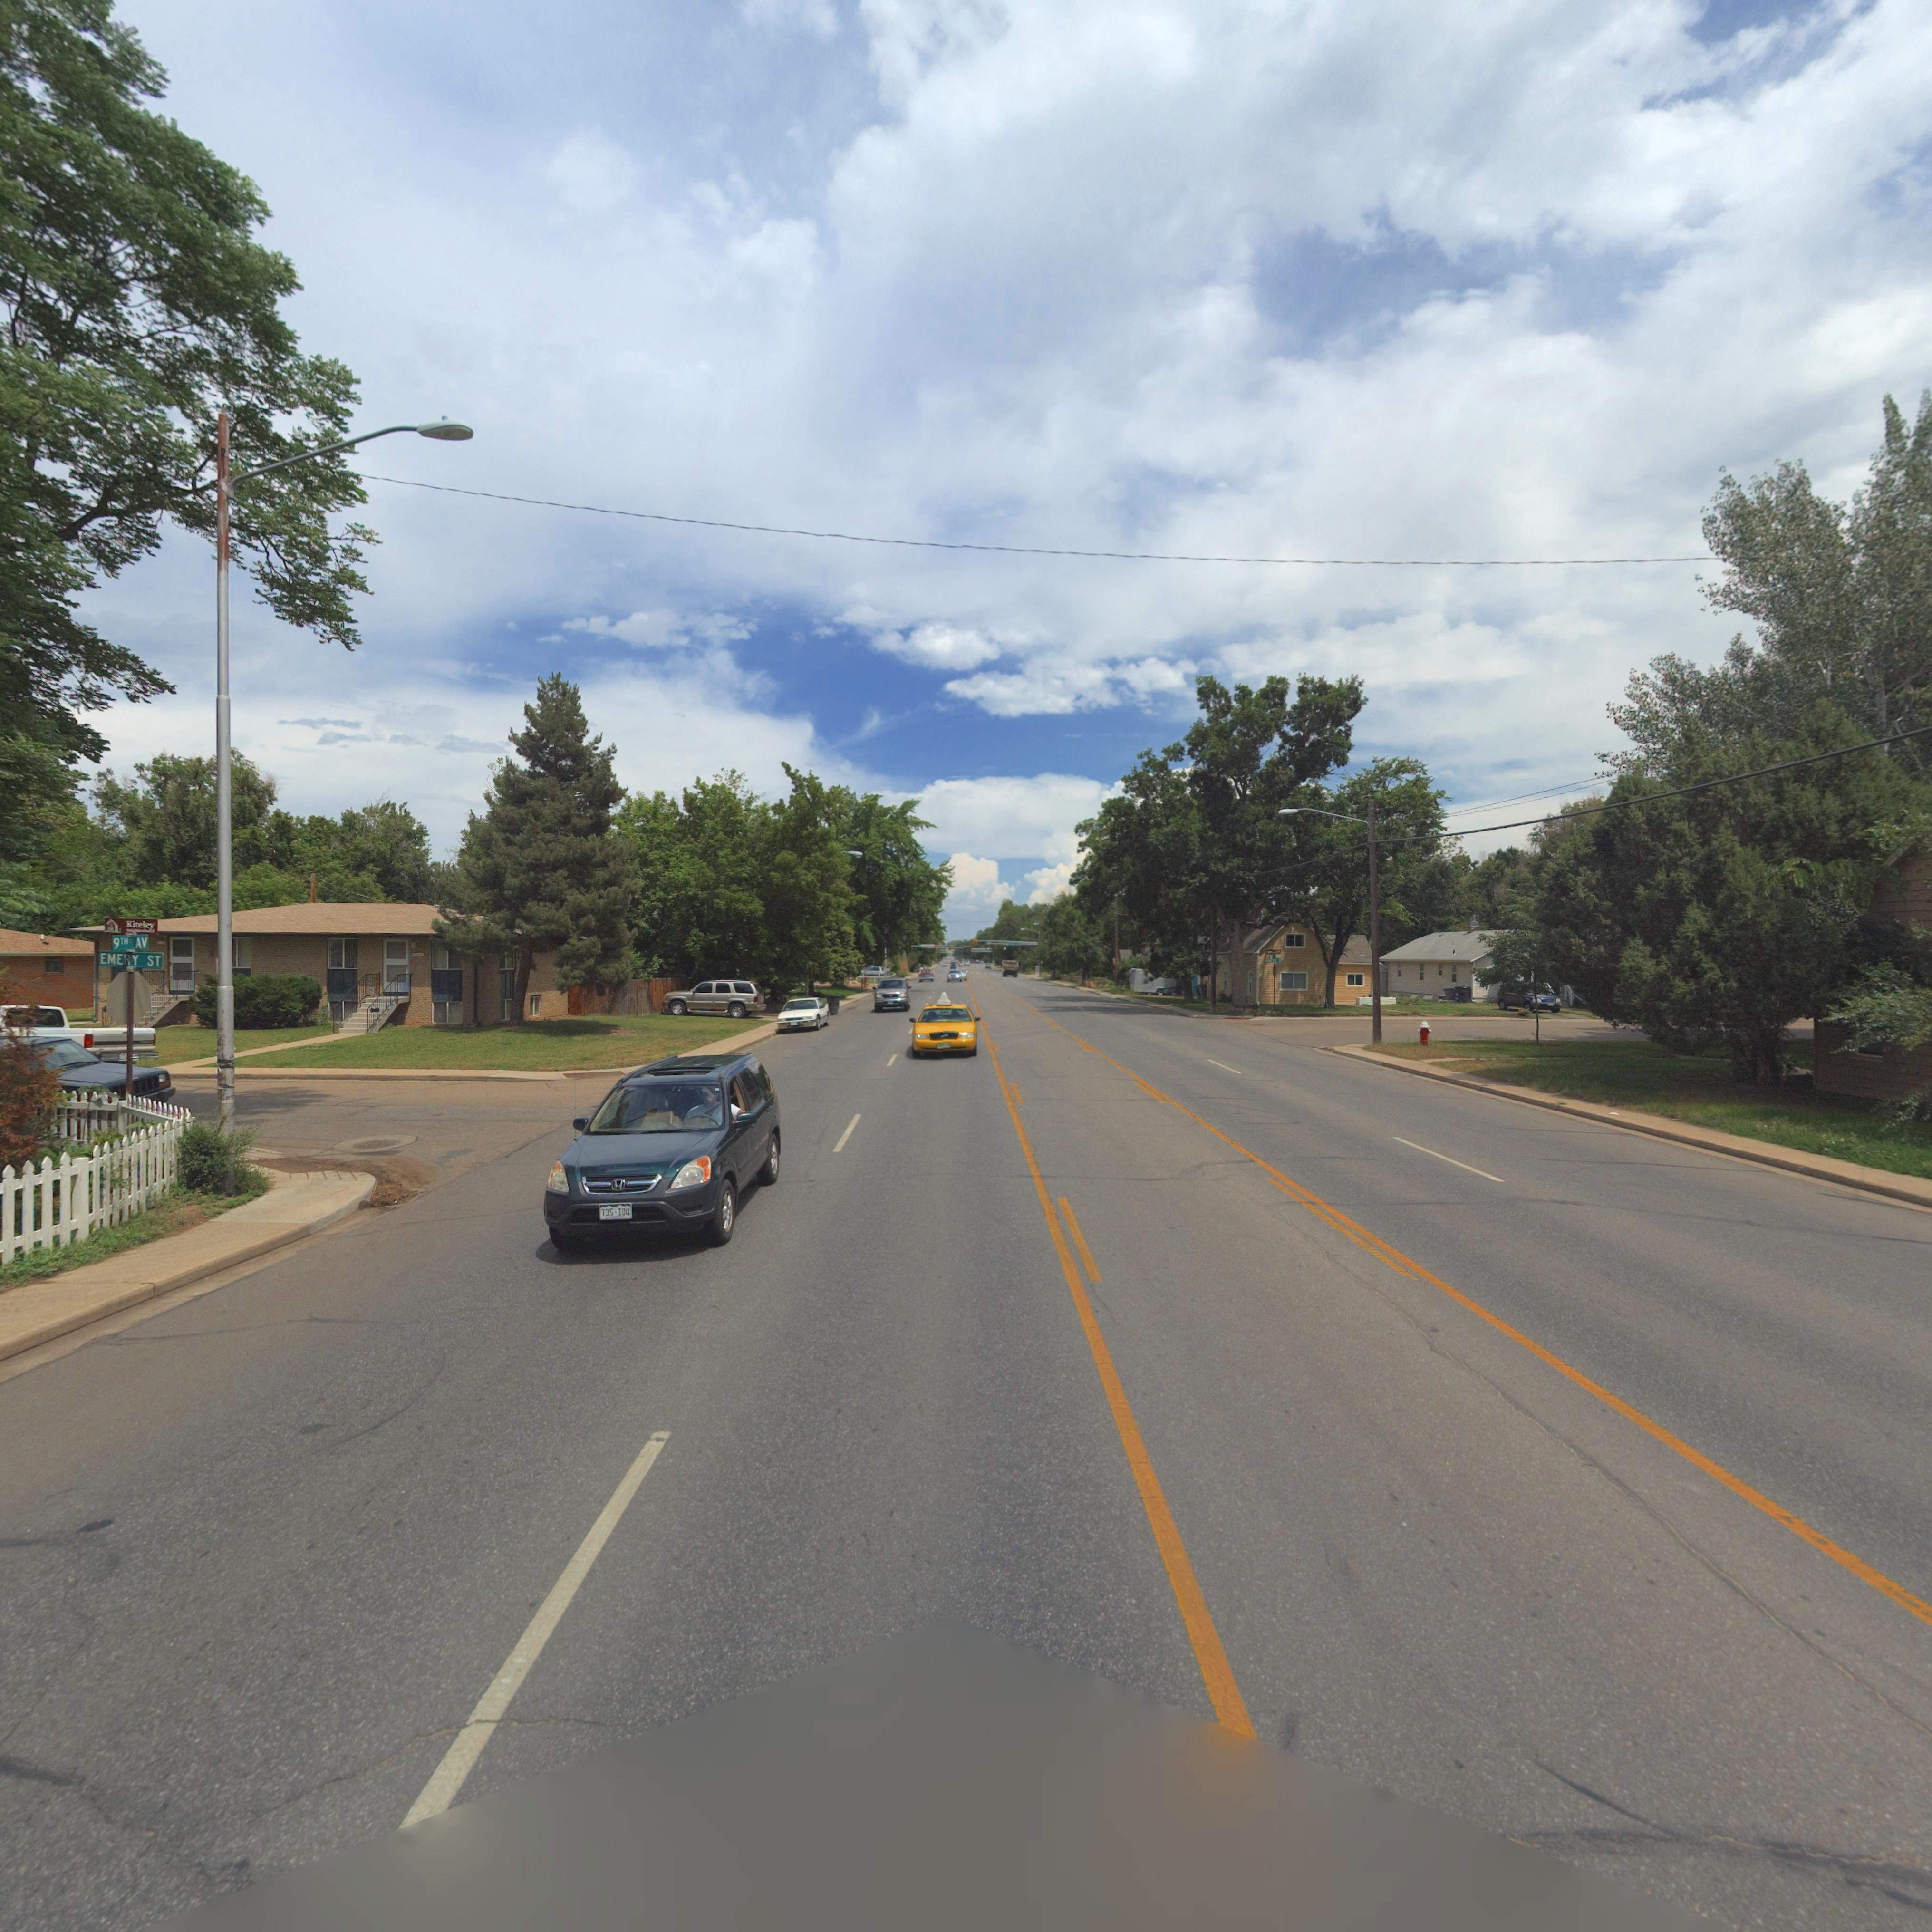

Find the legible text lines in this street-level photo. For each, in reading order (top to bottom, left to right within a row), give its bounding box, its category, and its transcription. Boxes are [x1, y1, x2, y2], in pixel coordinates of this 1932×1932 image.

[113, 937, 147, 949] StreetName: 9TH AV 
[100, 952, 162, 967] StreetName: EMERY ST